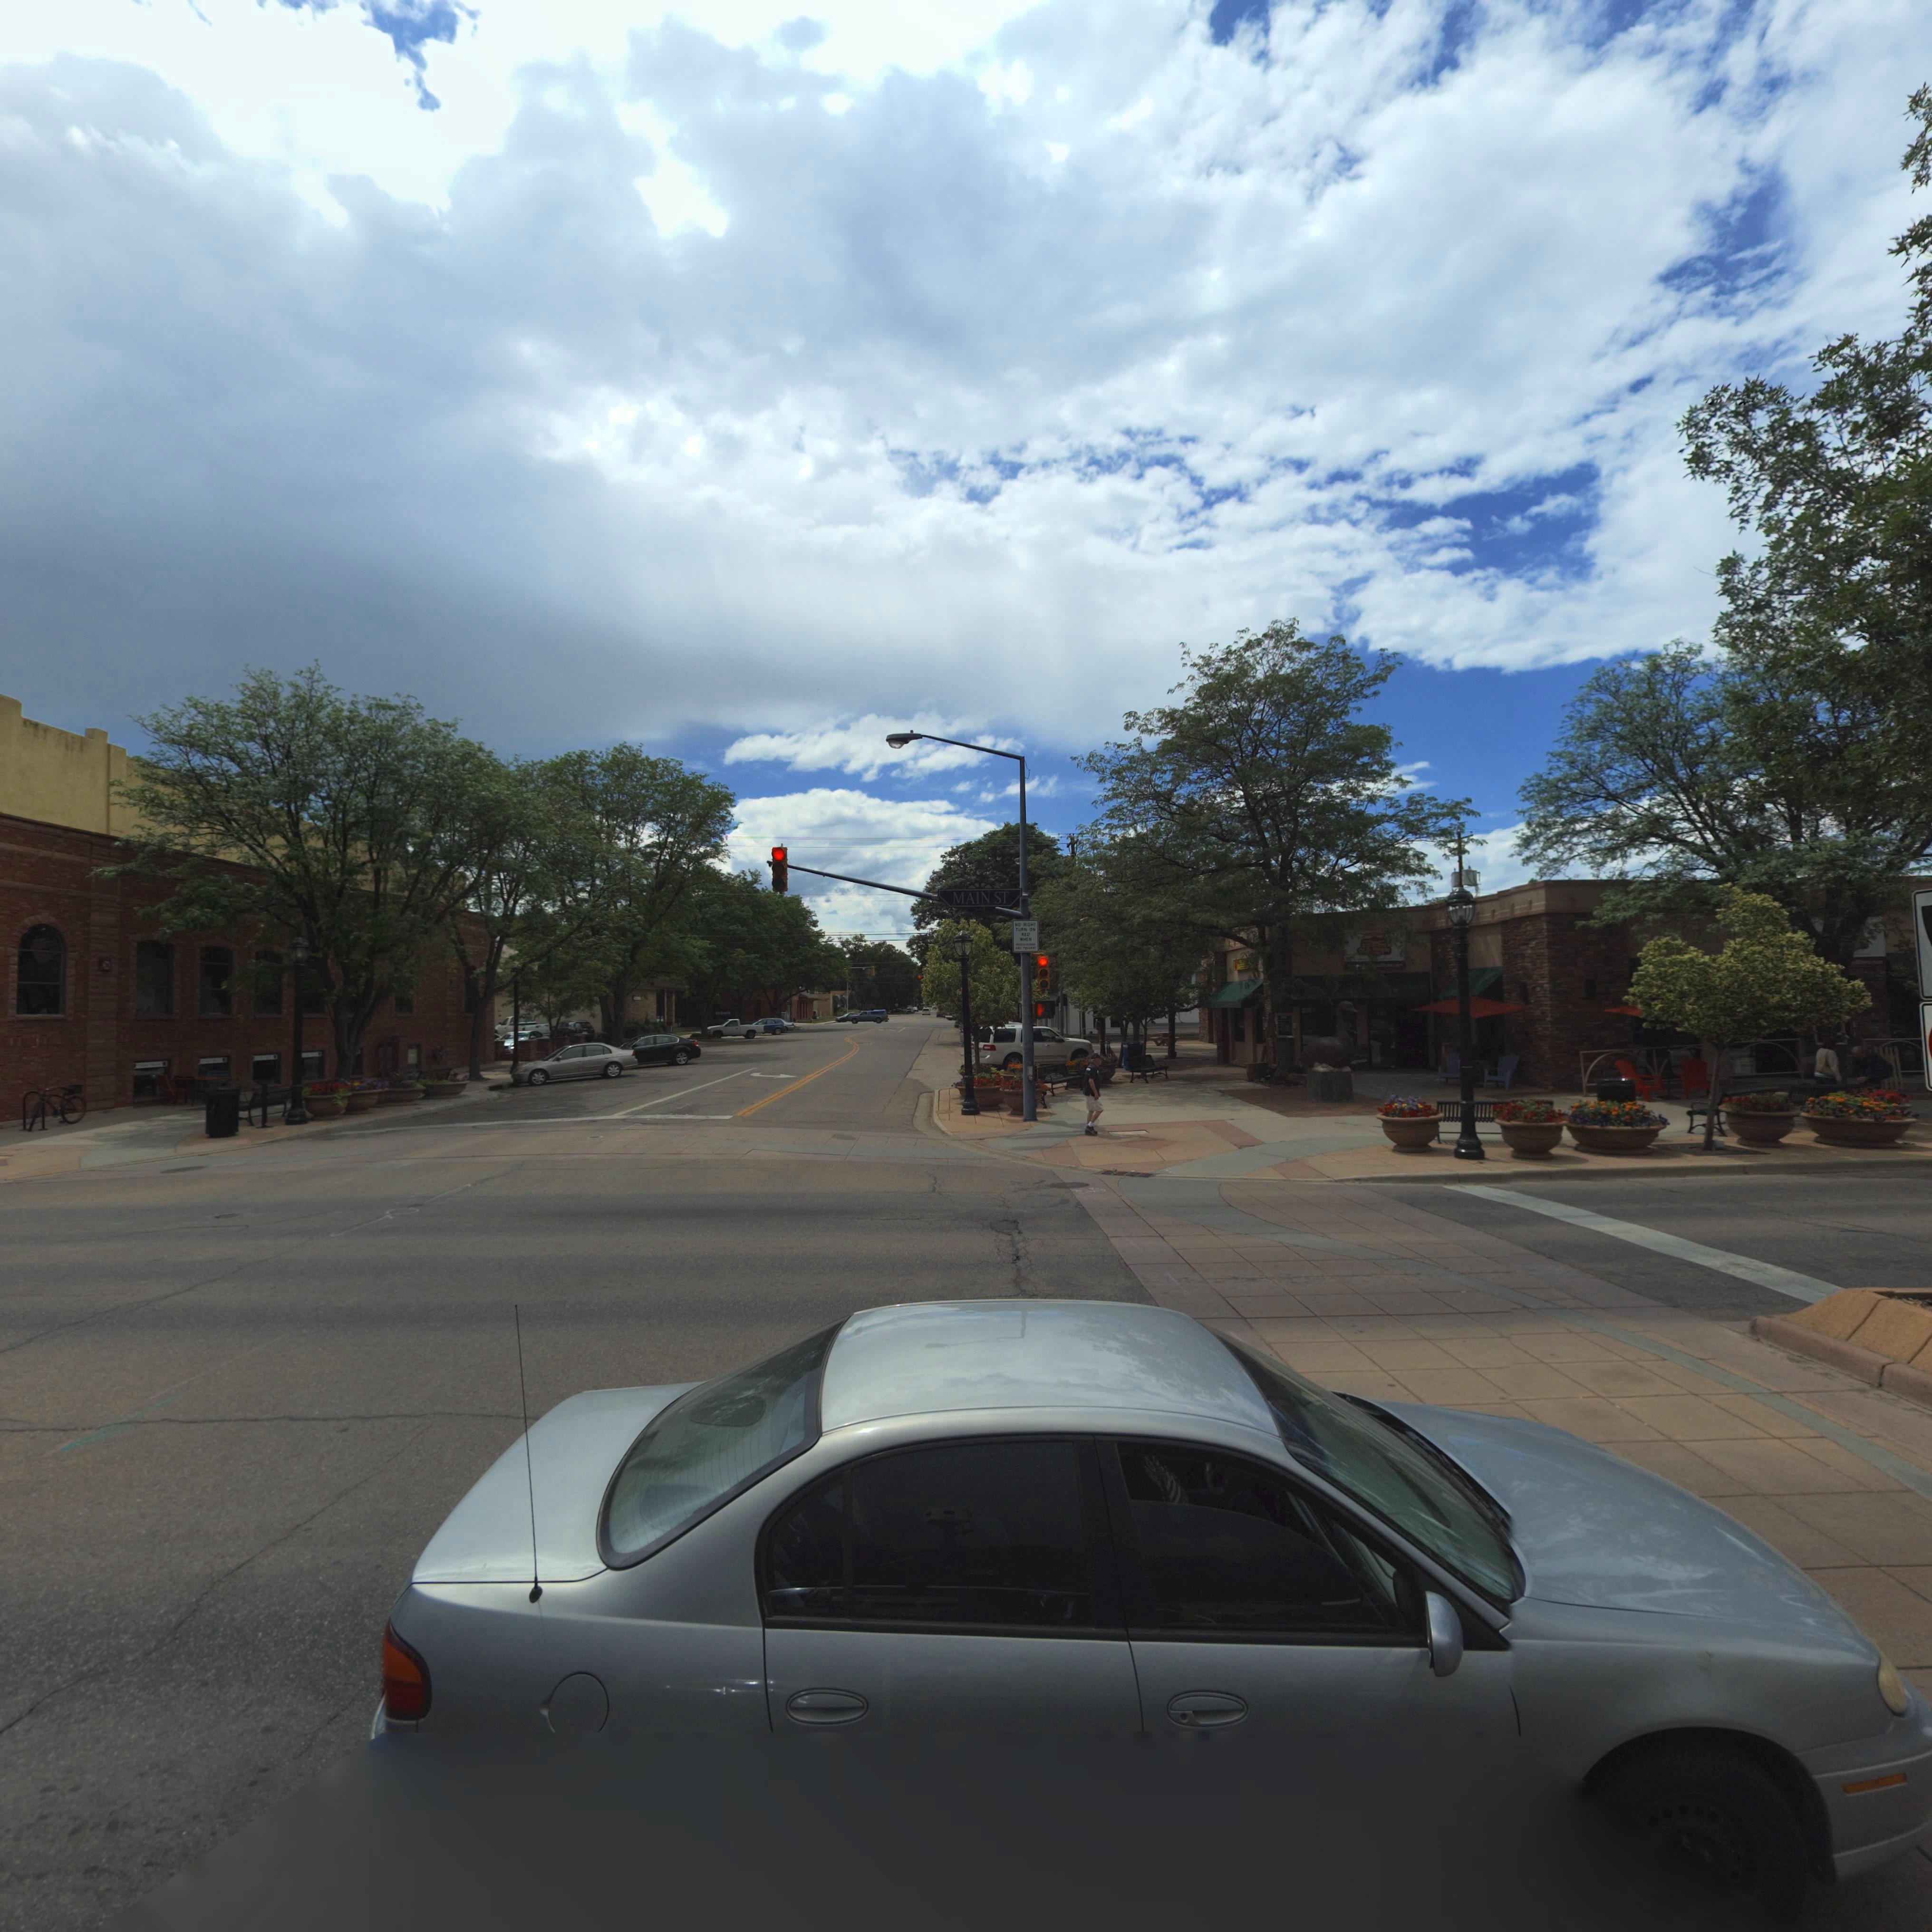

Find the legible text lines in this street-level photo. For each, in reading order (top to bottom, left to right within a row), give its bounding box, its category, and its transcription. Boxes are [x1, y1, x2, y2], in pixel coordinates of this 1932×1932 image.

[953, 890, 1010, 905] StreetName: MAIN ST
[1358, 947, 1391, 953] BusinessName: OLD N***H